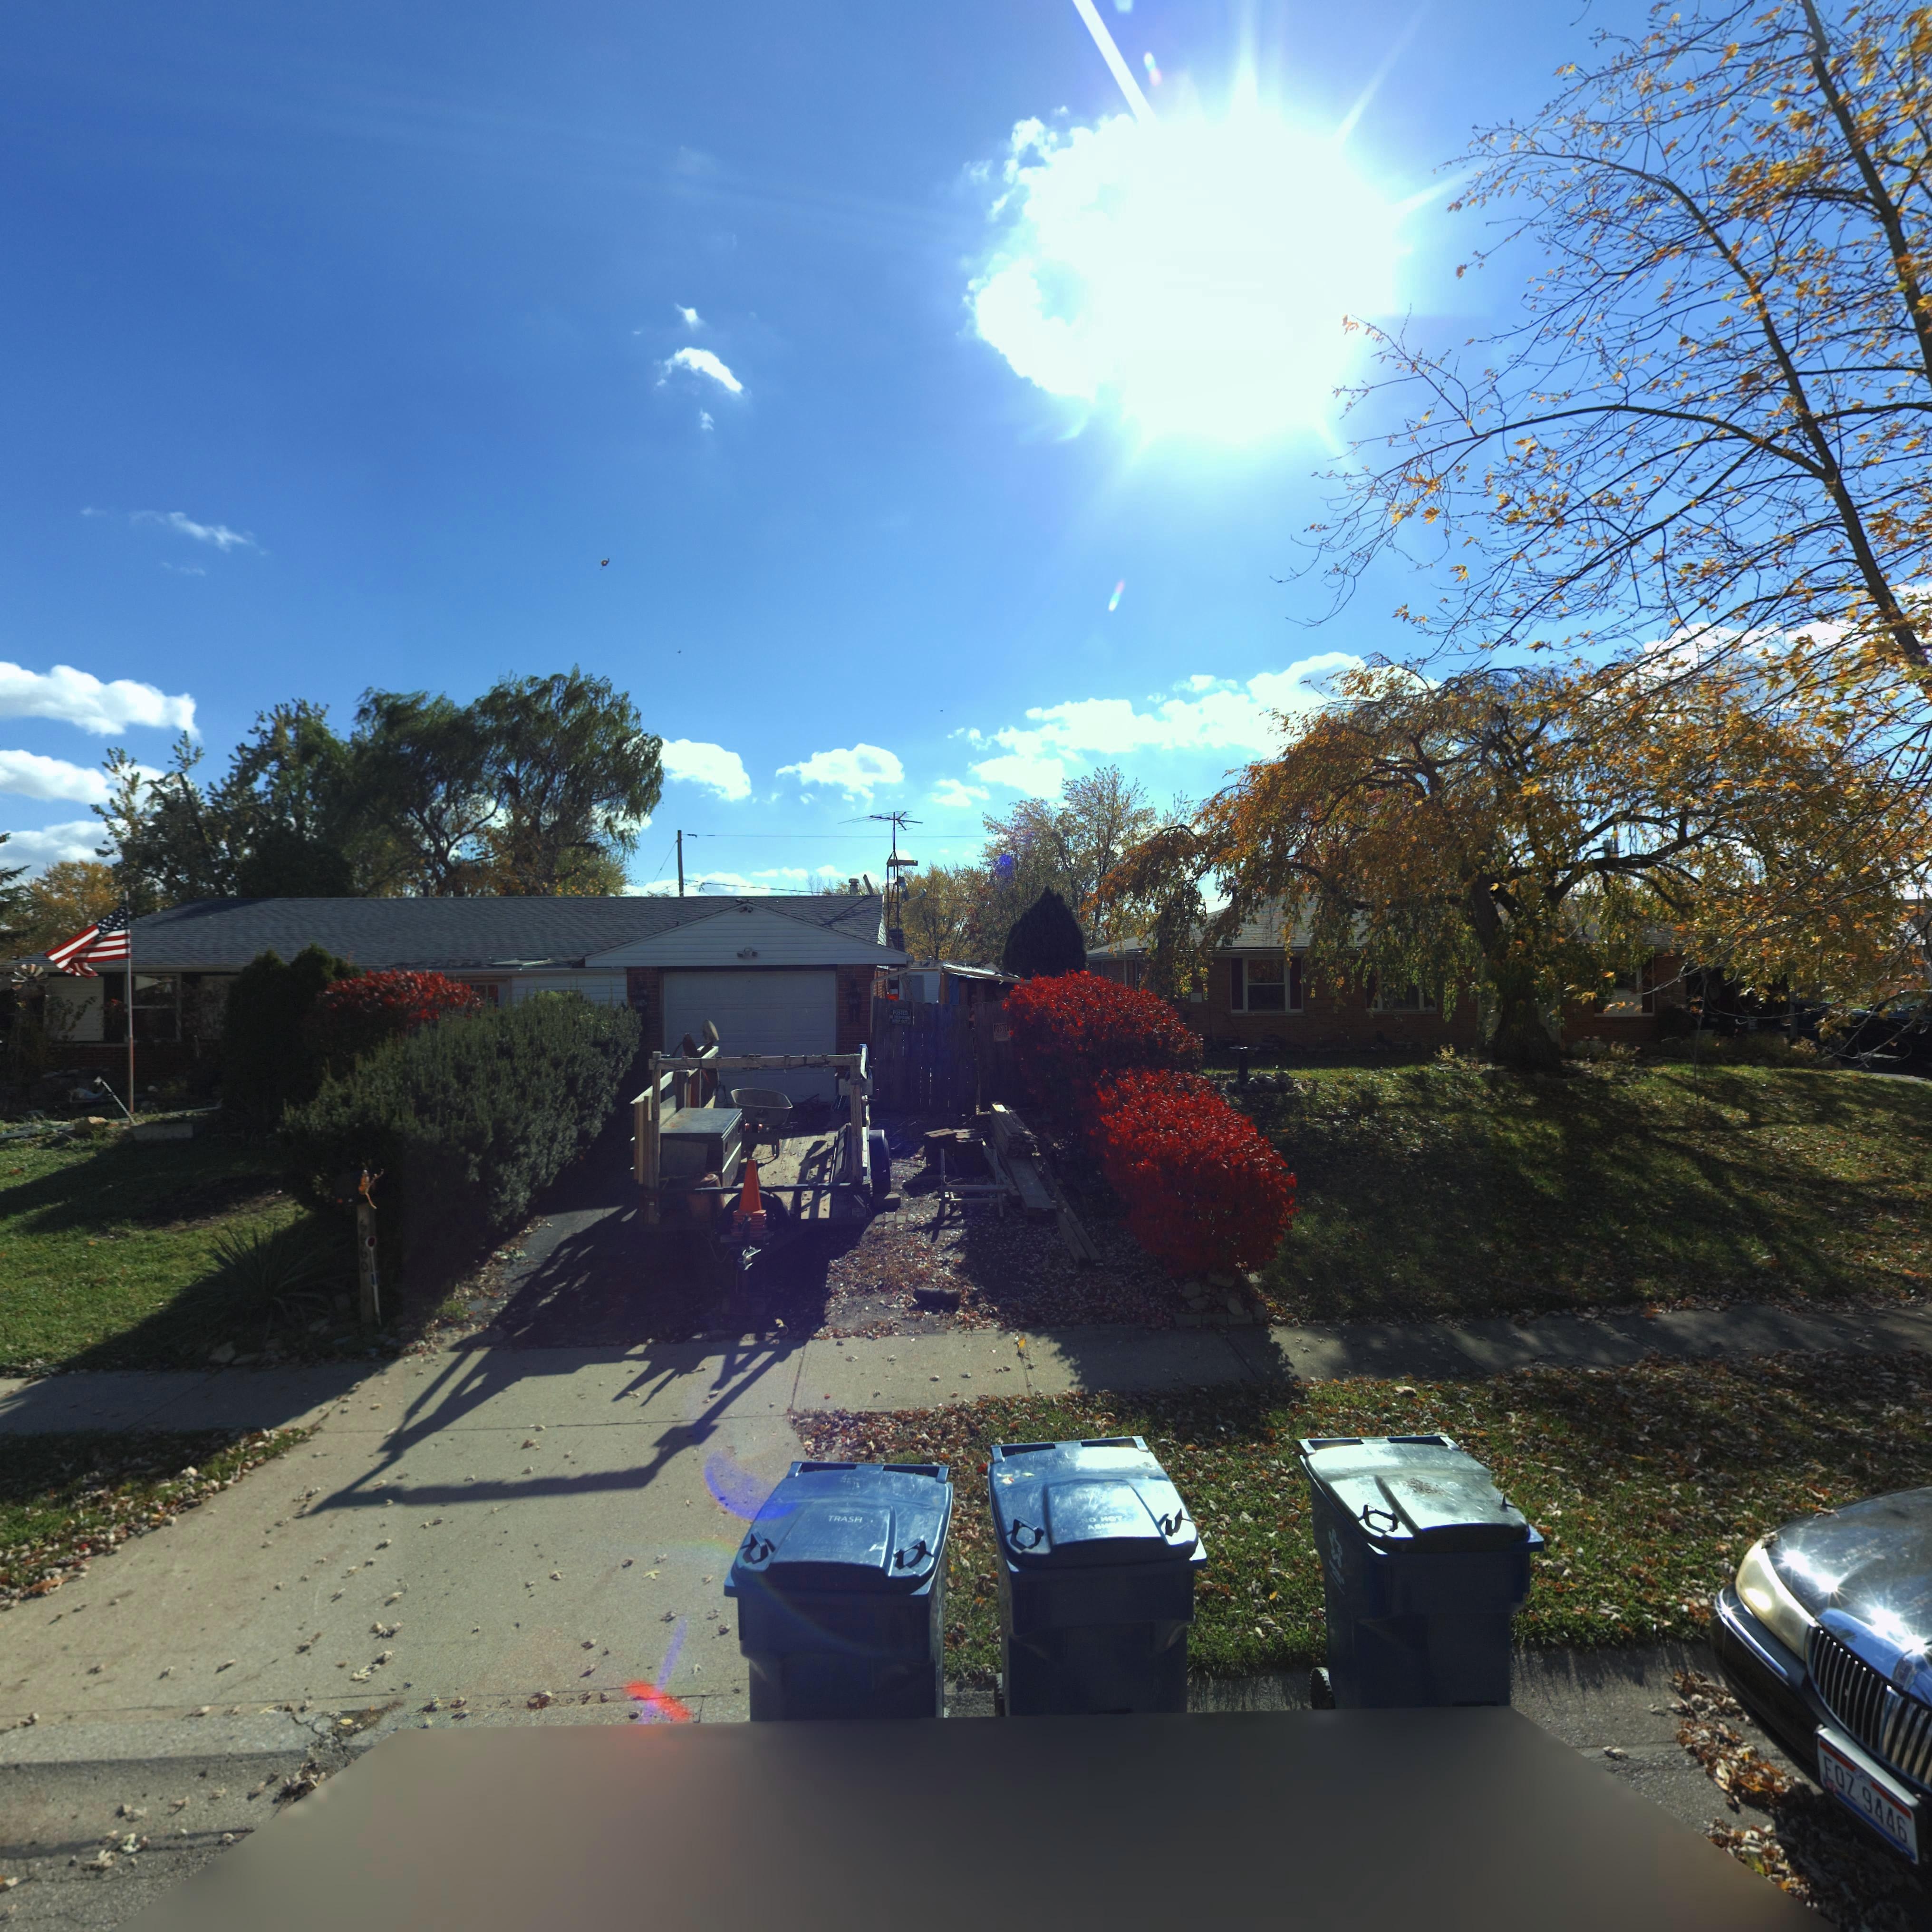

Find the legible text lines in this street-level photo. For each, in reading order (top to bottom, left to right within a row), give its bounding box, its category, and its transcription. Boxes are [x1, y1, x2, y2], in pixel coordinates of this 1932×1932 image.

[357, 1217, 369, 1273] StreetNumber: 6660